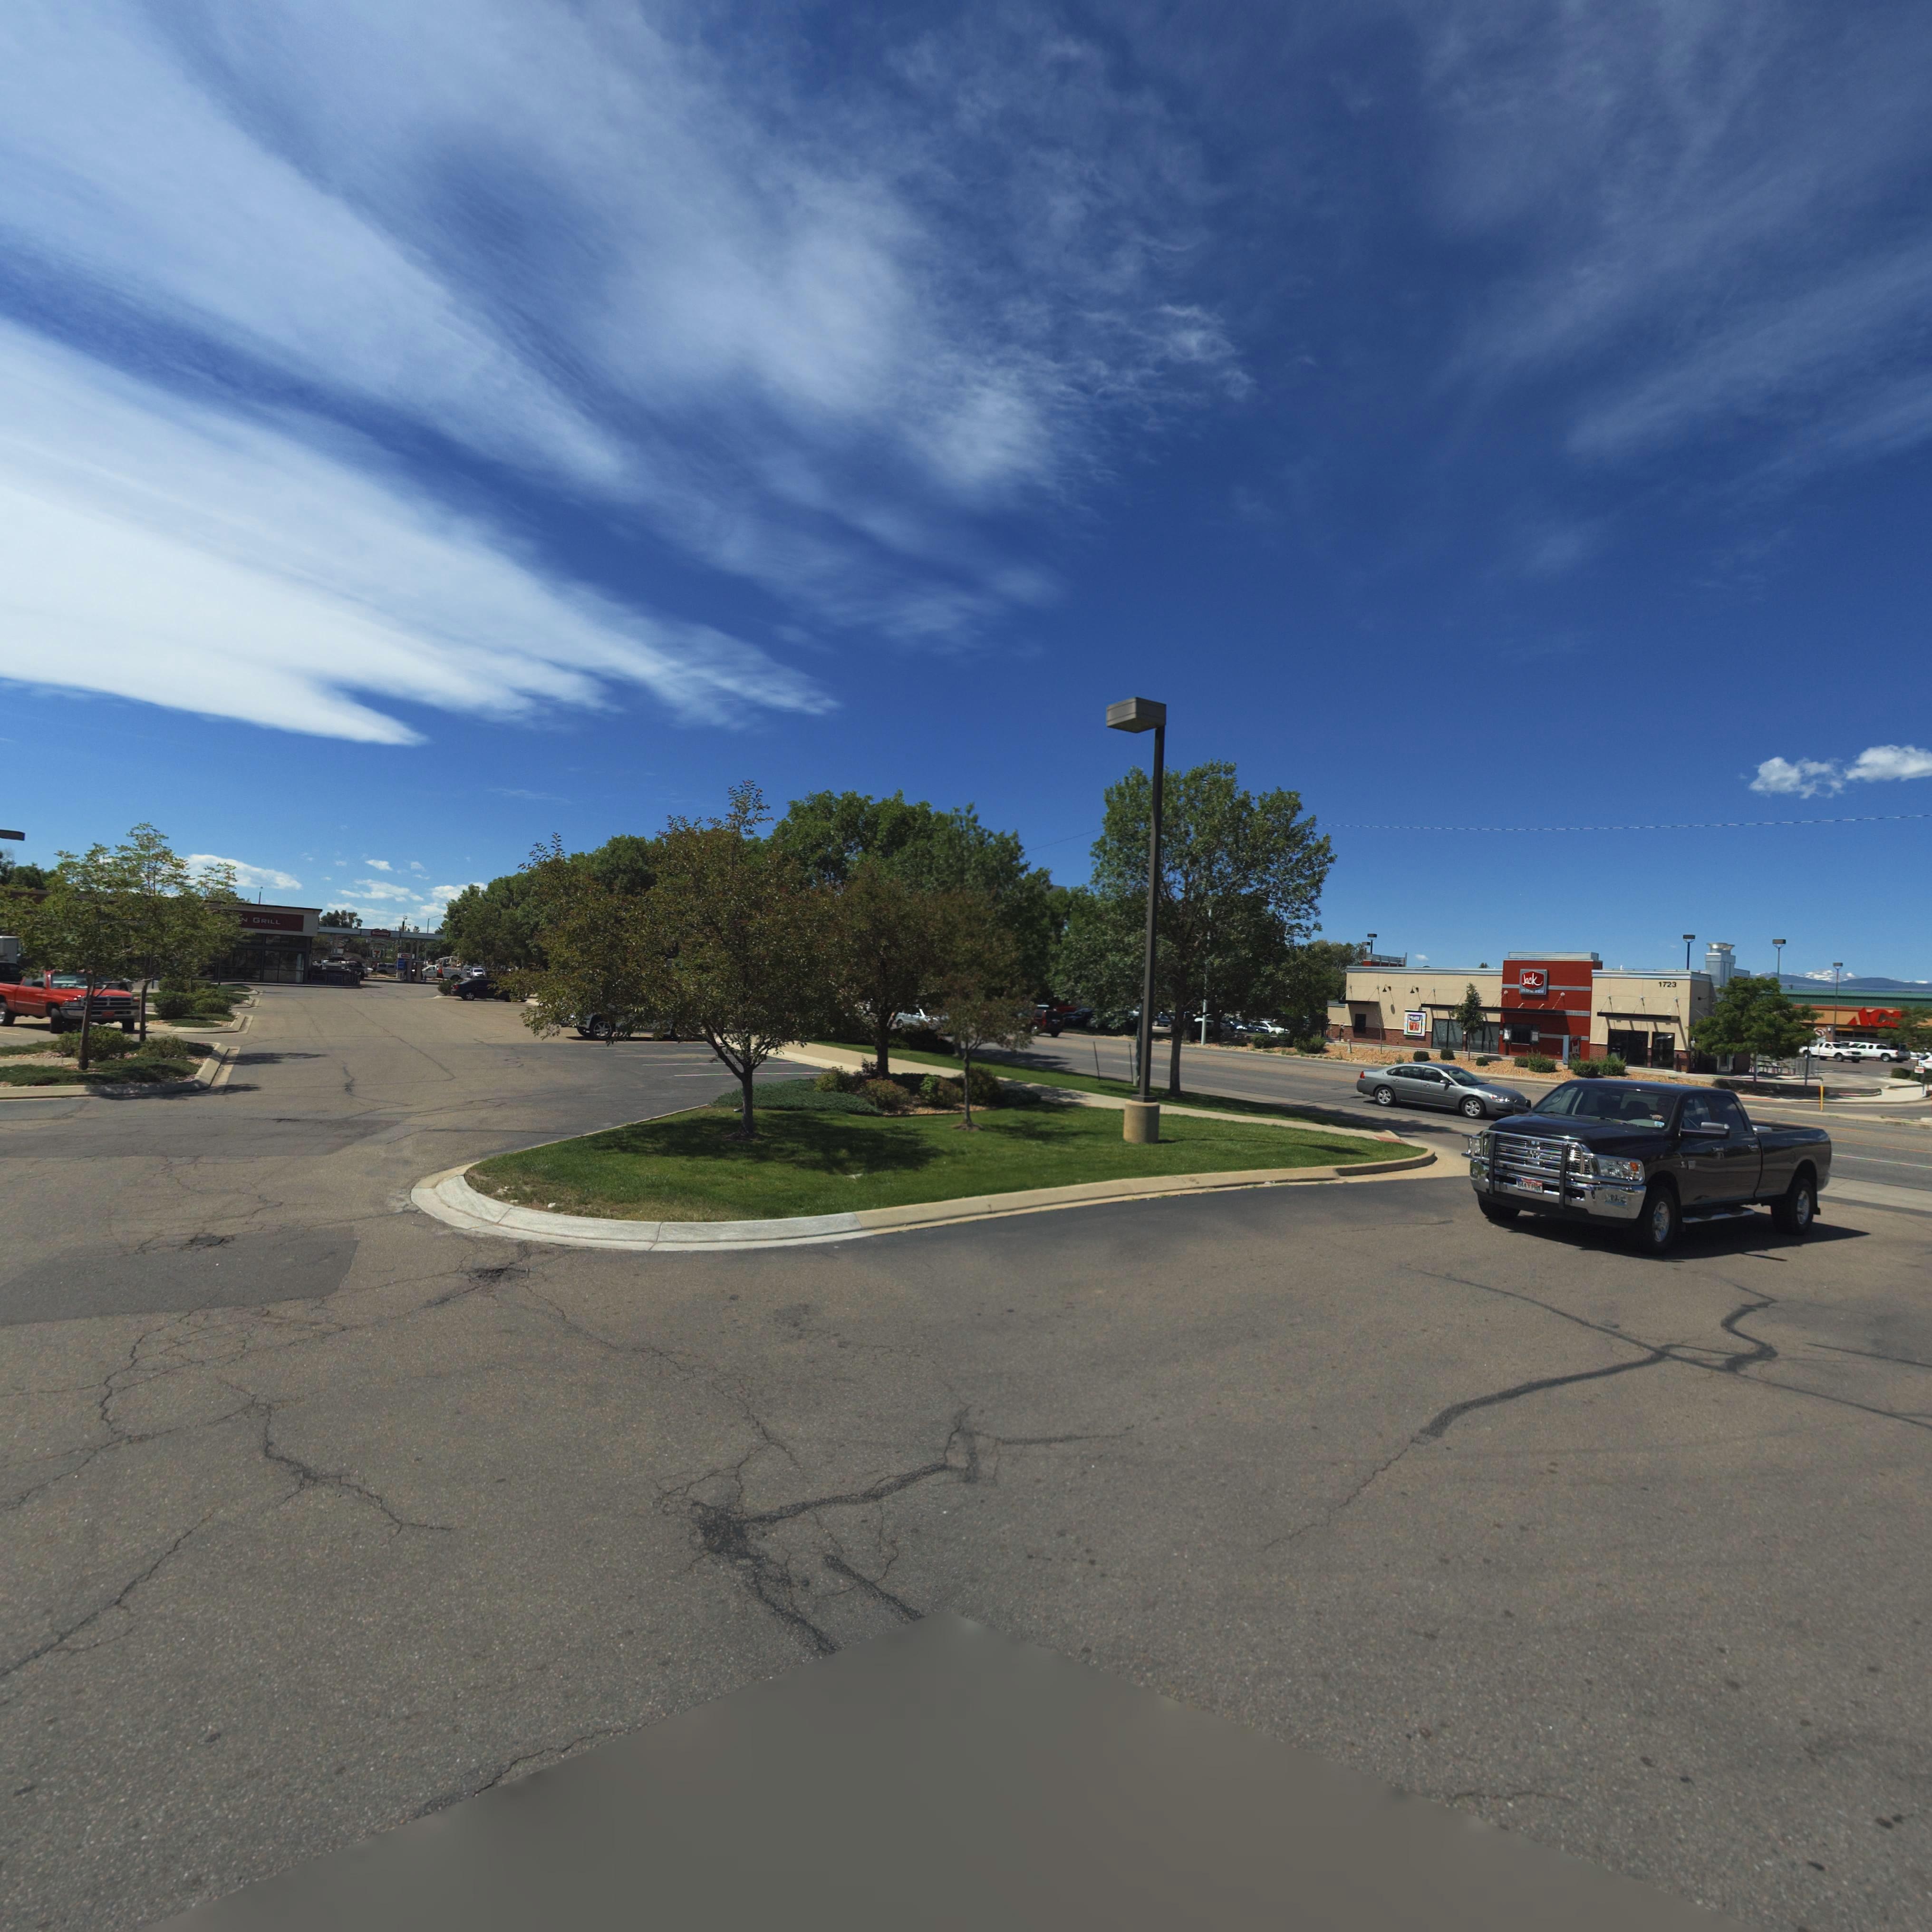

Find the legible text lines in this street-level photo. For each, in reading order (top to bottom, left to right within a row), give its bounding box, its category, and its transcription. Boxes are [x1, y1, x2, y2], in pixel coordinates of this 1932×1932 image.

[241, 917, 281, 925] BusinessName: N GRILL
[372, 931, 389, 936] BusinessName: ******y
[373, 949, 380, 958] BusinessName: 7
[1521, 972, 1544, 986] BusinessName: Jack
[1658, 981, 1676, 987] StreetNumber: 1723
[1845, 1006, 1912, 1028] BusinessName: *C*